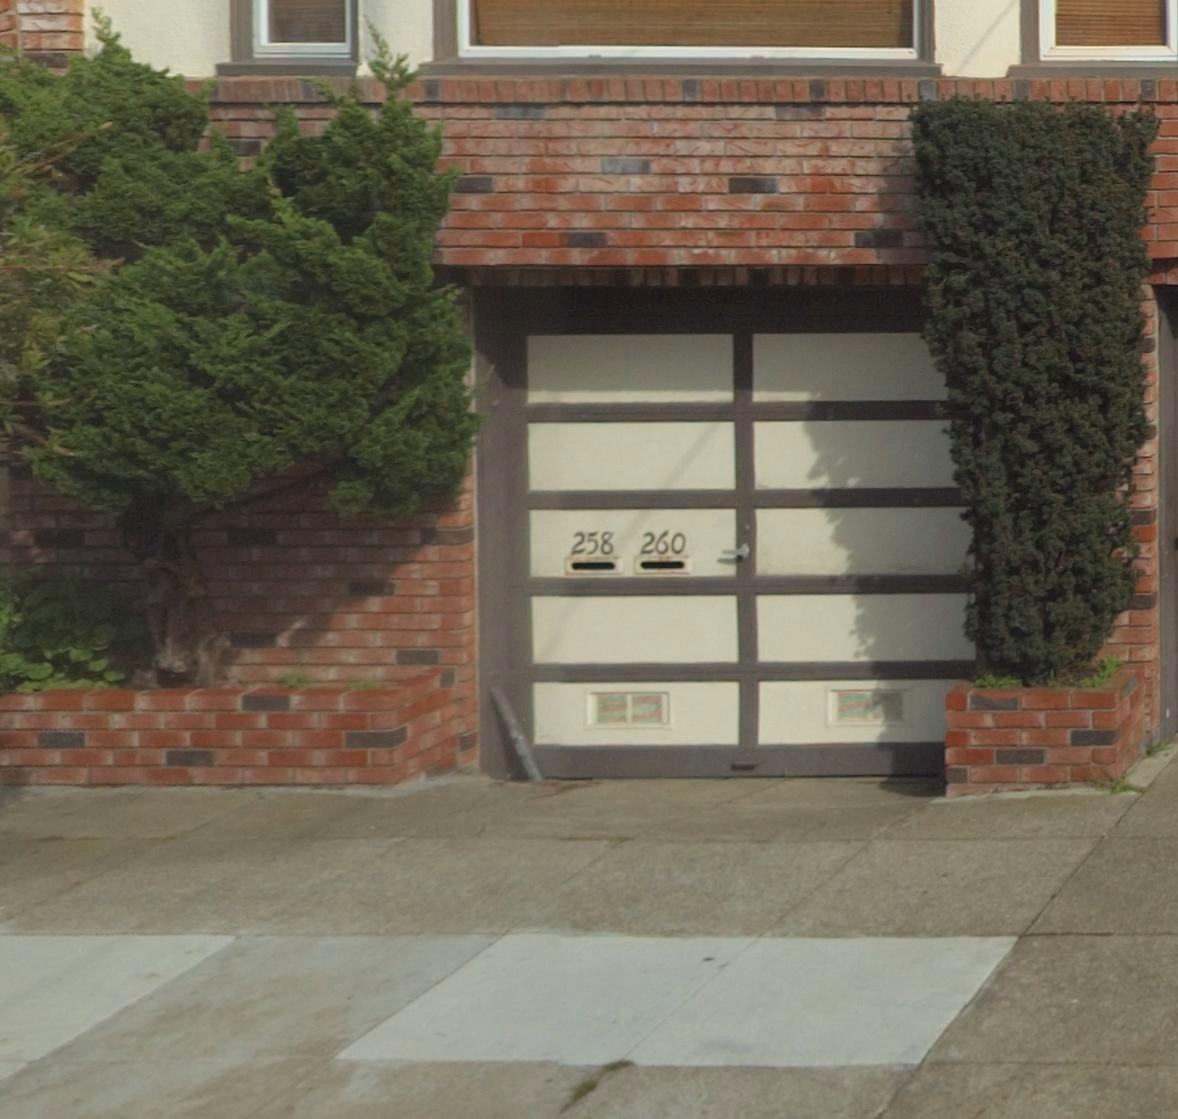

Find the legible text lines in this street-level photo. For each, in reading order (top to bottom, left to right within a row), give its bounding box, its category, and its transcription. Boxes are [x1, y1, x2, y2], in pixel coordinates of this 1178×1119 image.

[568, 528, 617, 558] StreetNumber: 258
[639, 527, 688, 557] StreetNumber: 260